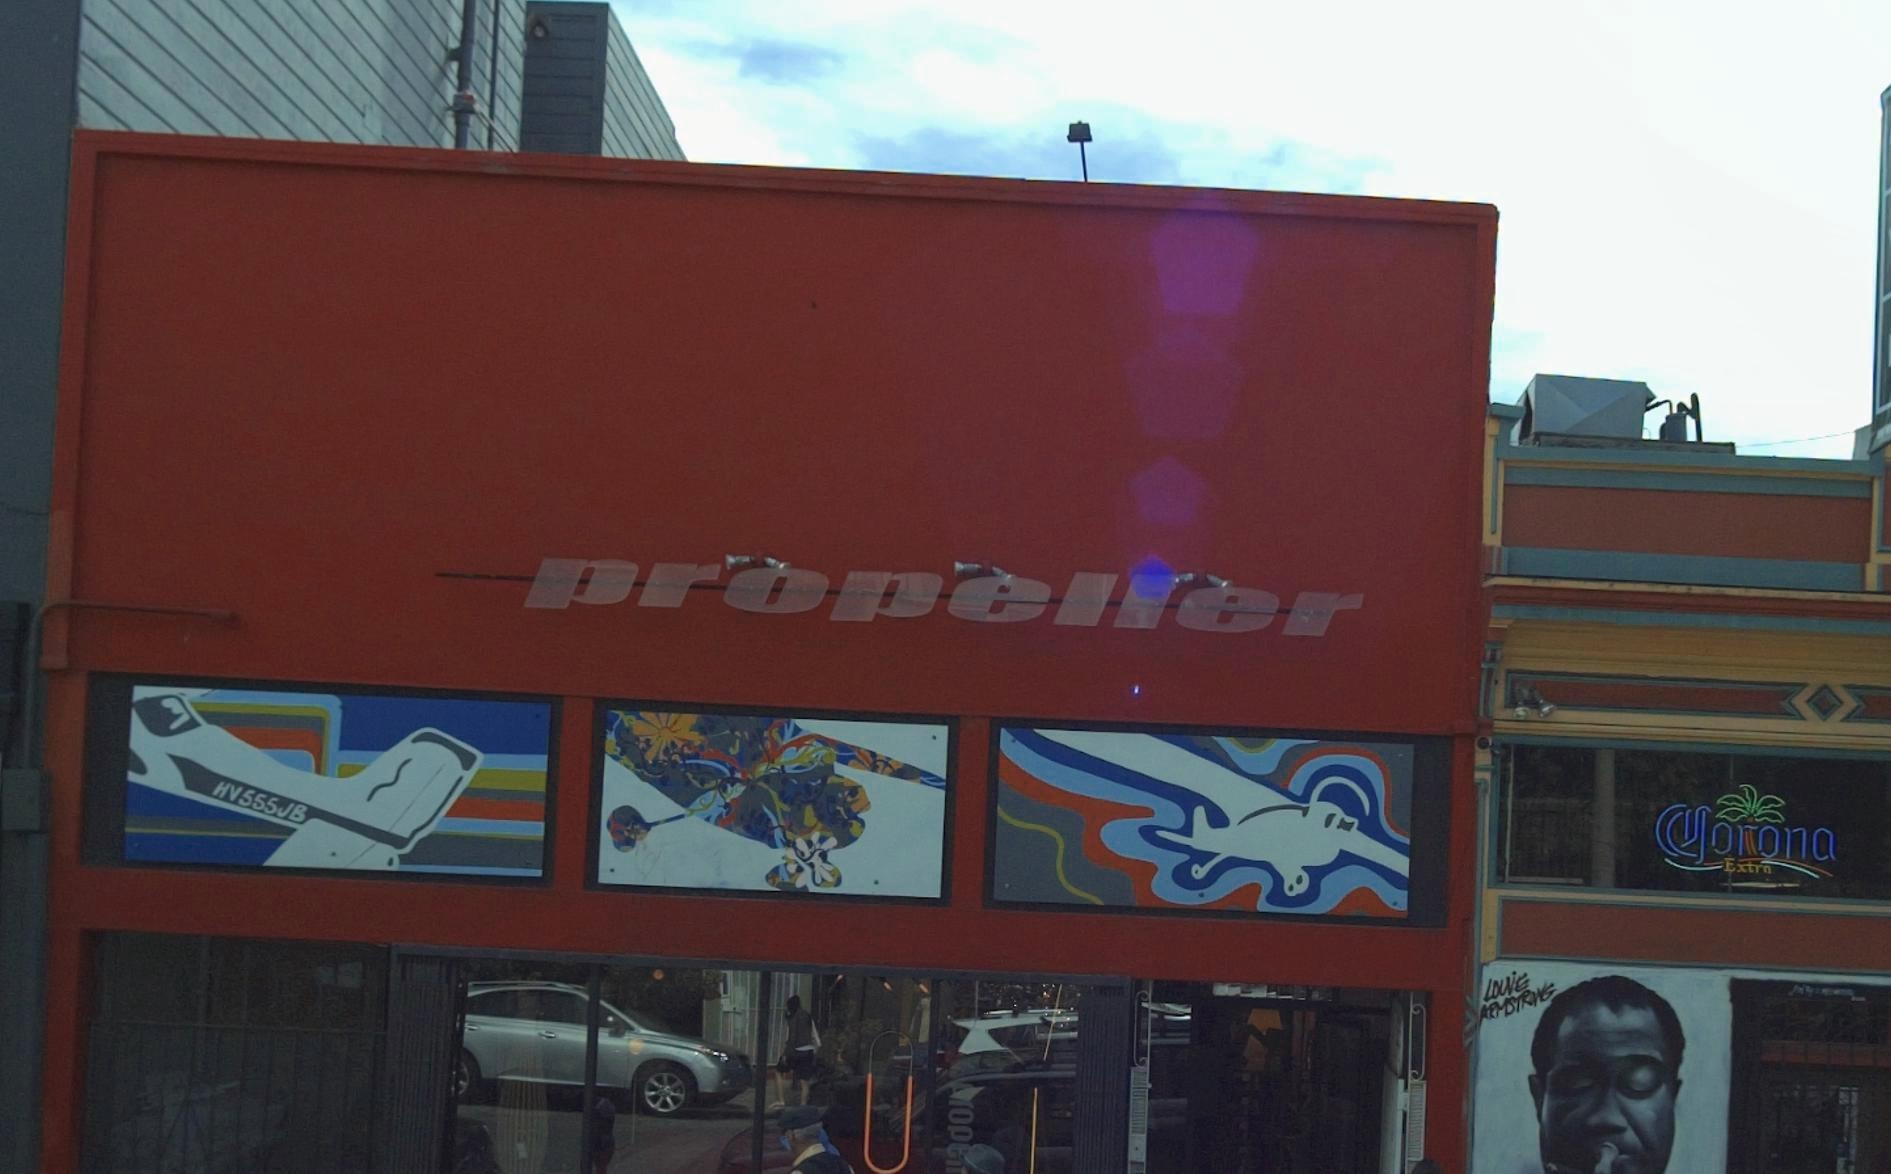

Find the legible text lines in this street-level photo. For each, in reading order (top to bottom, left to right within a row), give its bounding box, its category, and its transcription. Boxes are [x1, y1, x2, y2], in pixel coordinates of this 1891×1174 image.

[519, 554, 1366, 640] BusinessName: propeller
[207, 777, 314, 828] None: HV555JB
[1650, 800, 1838, 868] None: Corona
[1721, 855, 1773, 877] None: Extra
[1480, 967, 1532, 1008] None: LOUIE
[1477, 978, 1560, 1025] None: ARMSTRONG